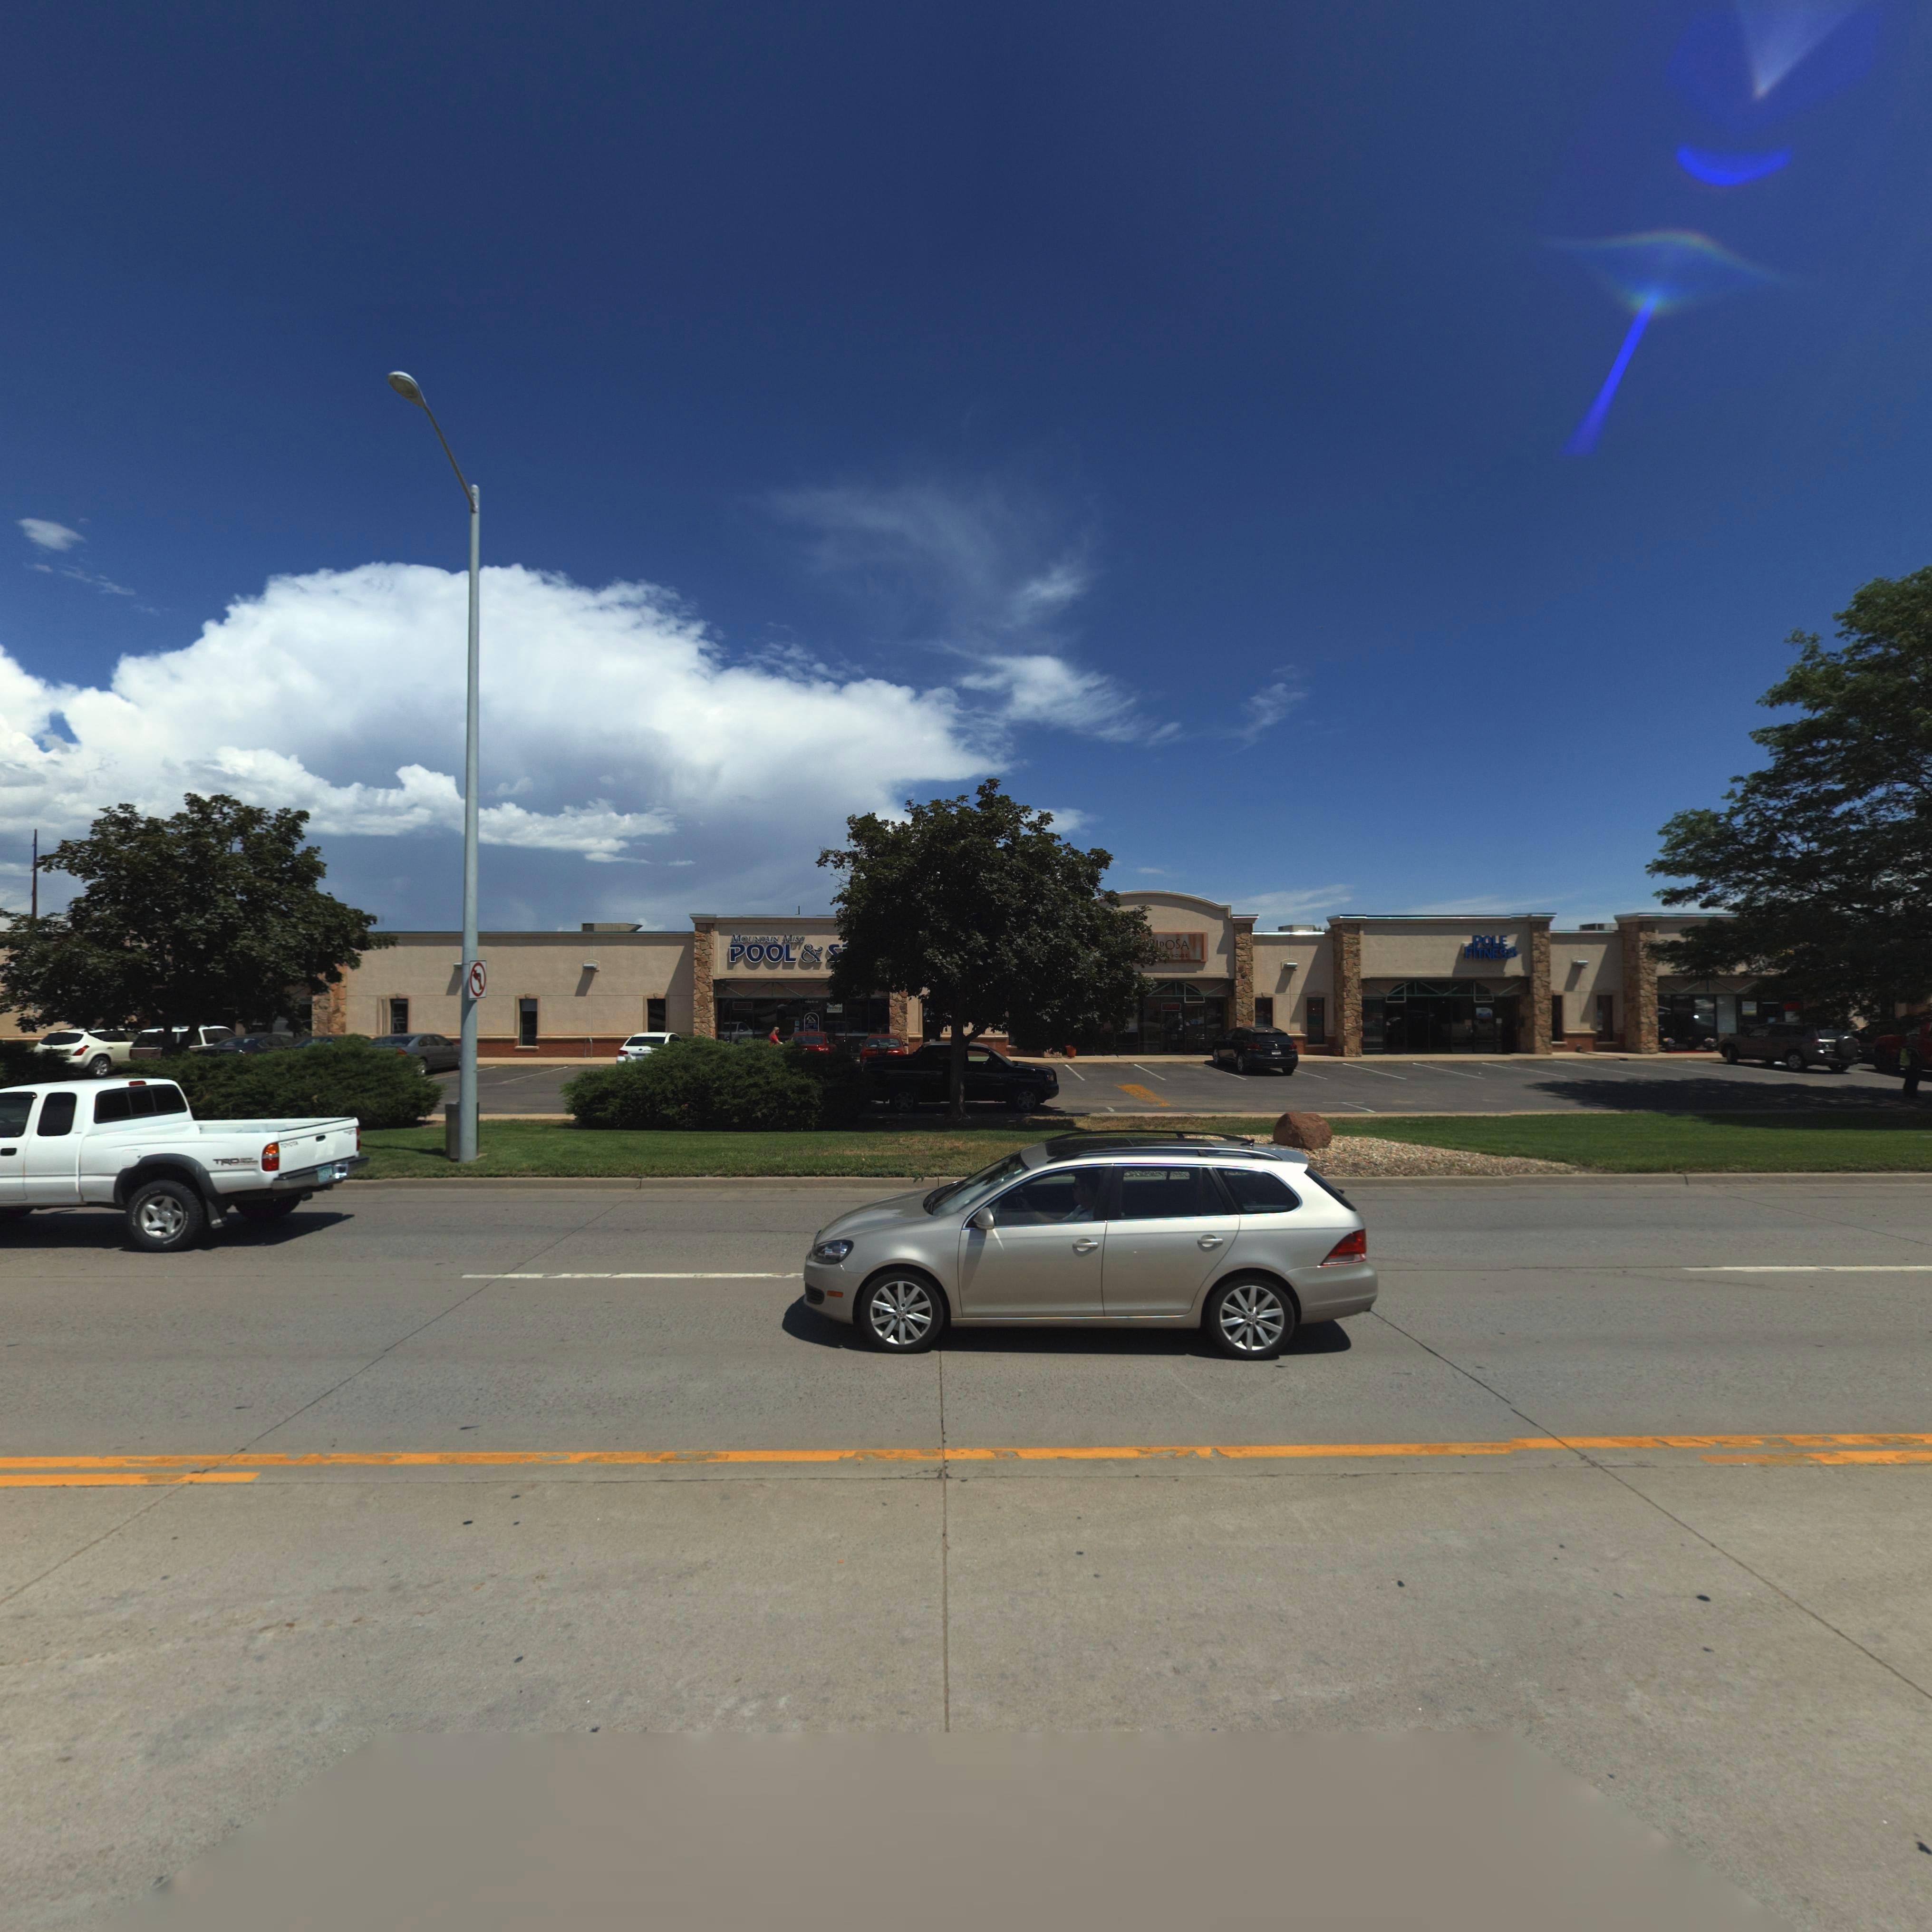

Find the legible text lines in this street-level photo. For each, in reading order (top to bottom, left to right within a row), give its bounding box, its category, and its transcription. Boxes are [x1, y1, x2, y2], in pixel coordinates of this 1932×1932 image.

[730, 933, 805, 942] BusinessName: MOUNTAIN MIST
[1165, 938, 1189, 950] BusinessName: OSA
[1473, 935, 1507, 947] BusinessName: POLE
[730, 944, 823, 963] BusinessName: POOL &
[1464, 946, 1518, 959] BusinessName: FITNES*